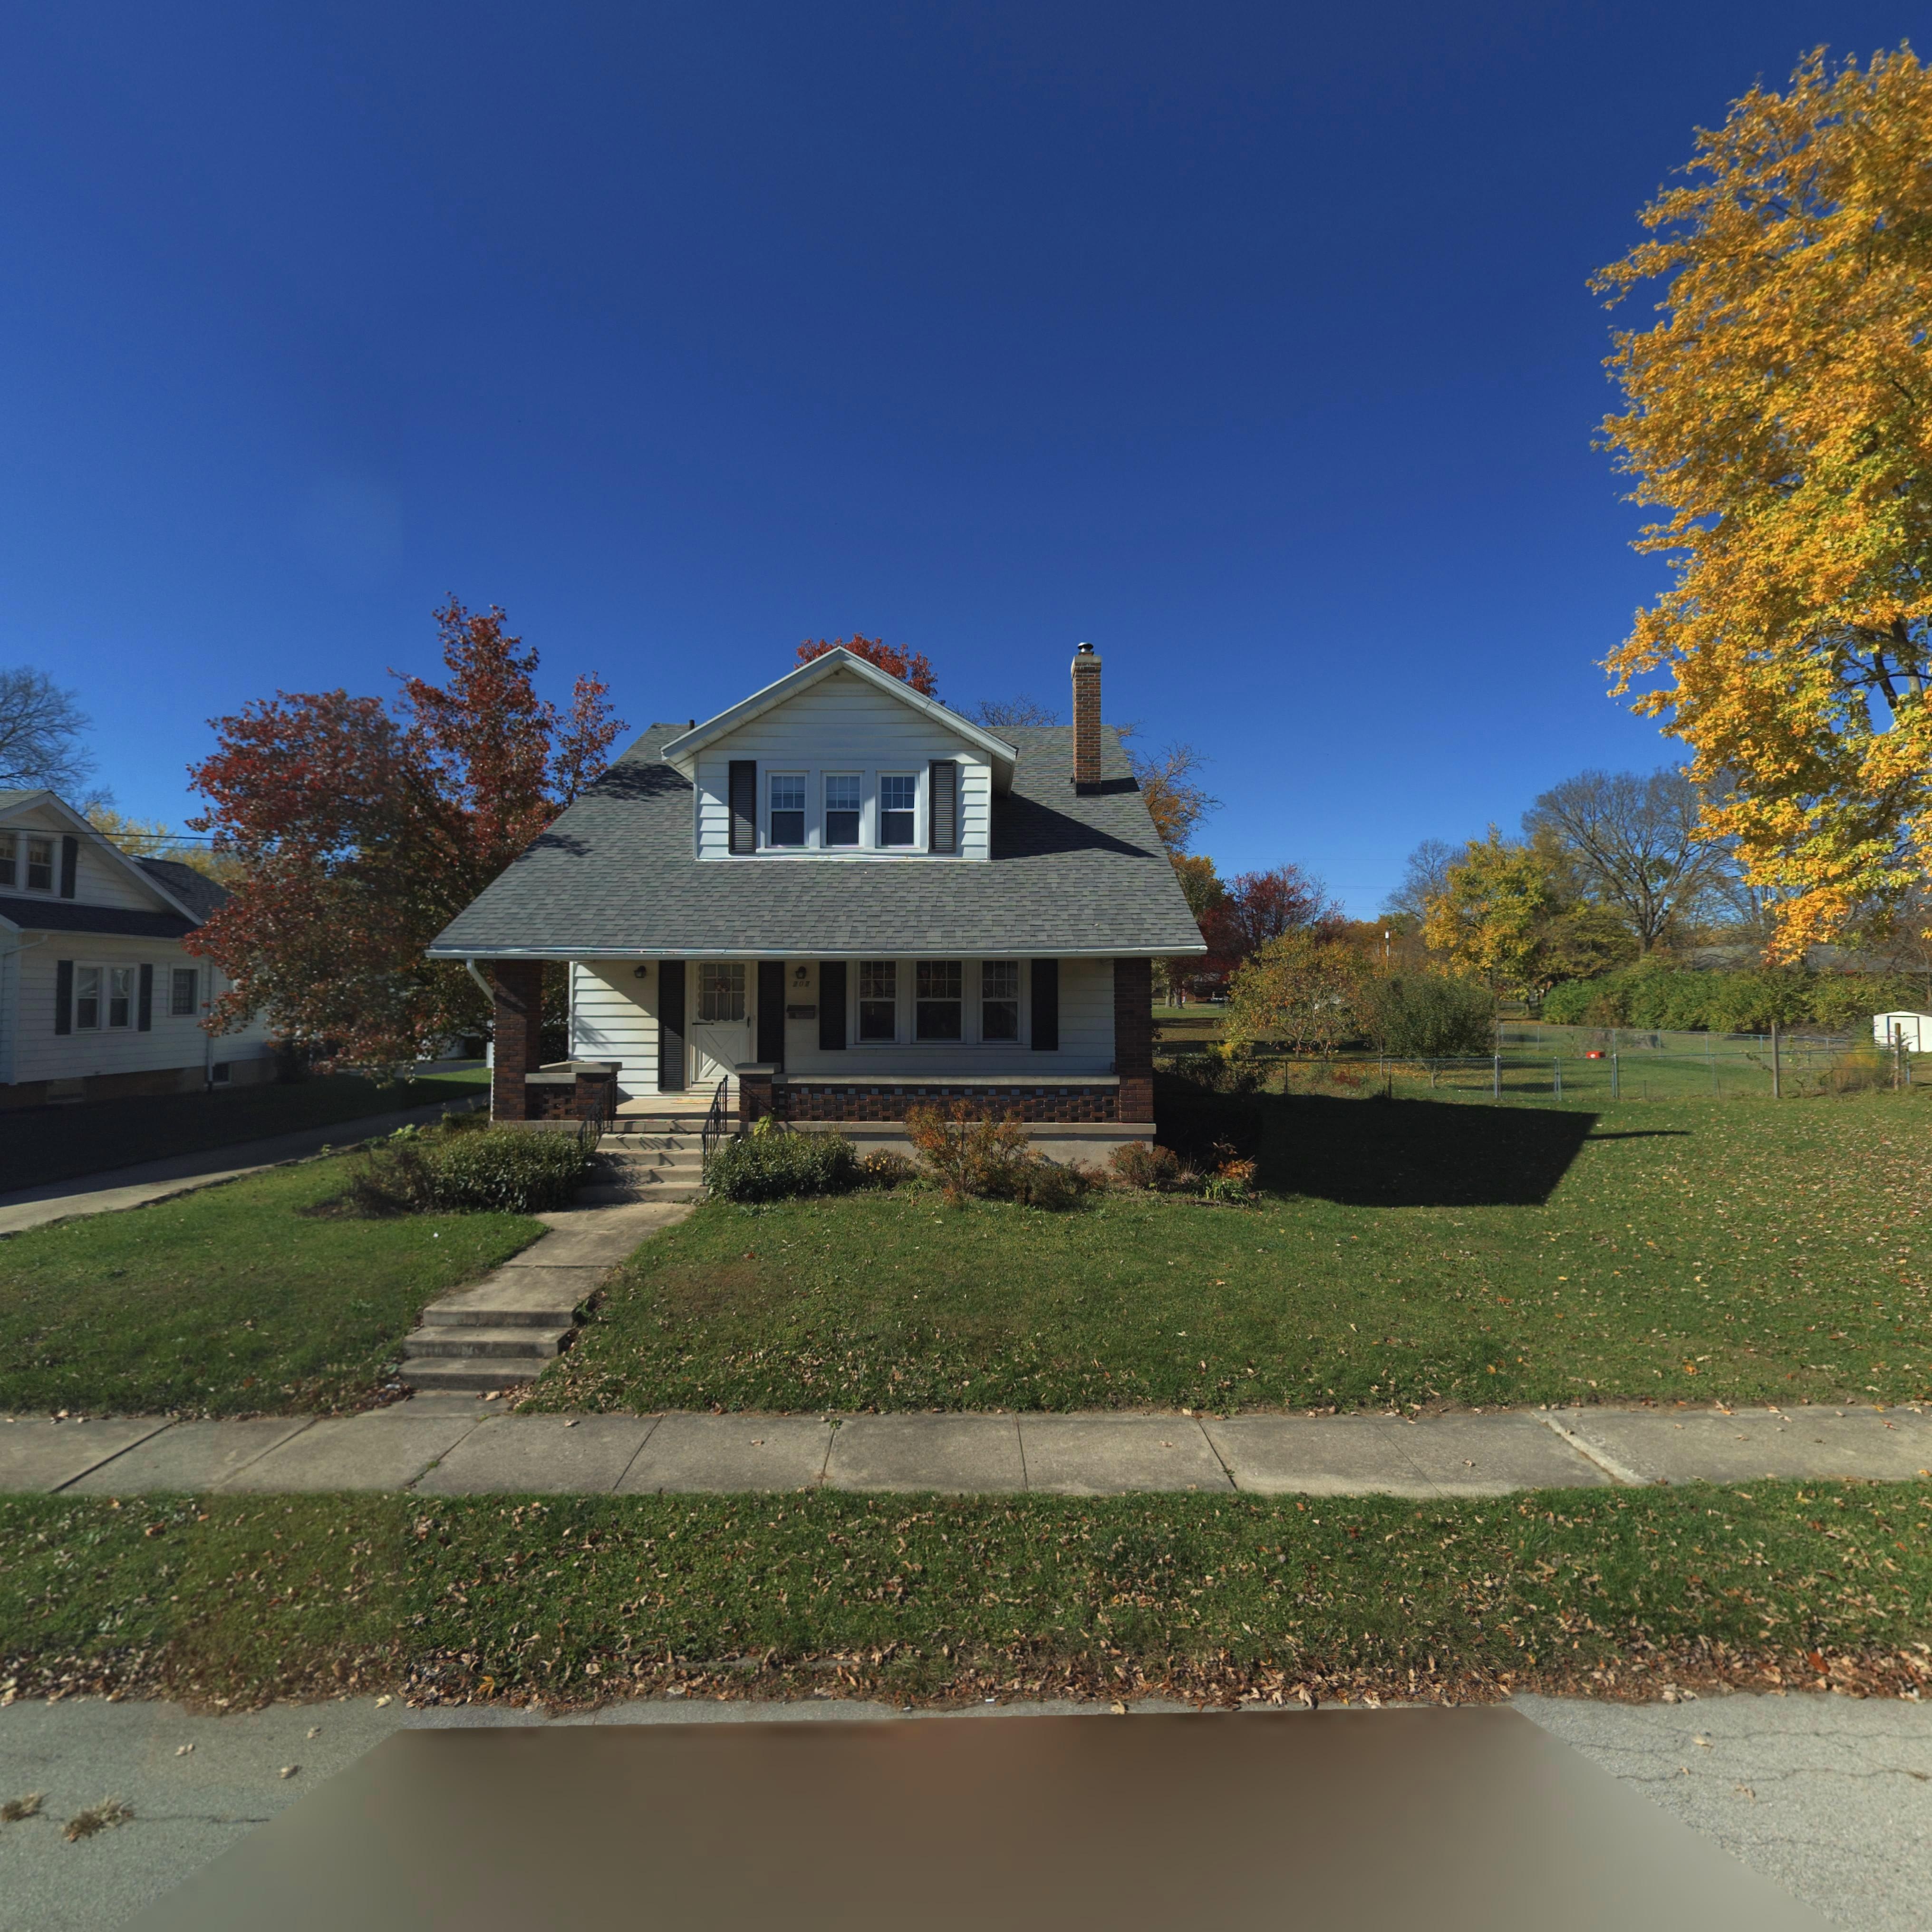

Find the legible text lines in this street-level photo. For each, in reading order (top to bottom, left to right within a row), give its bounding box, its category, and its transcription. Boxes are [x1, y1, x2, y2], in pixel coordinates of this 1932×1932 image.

[793, 981, 810, 987] StreetNumber: 207